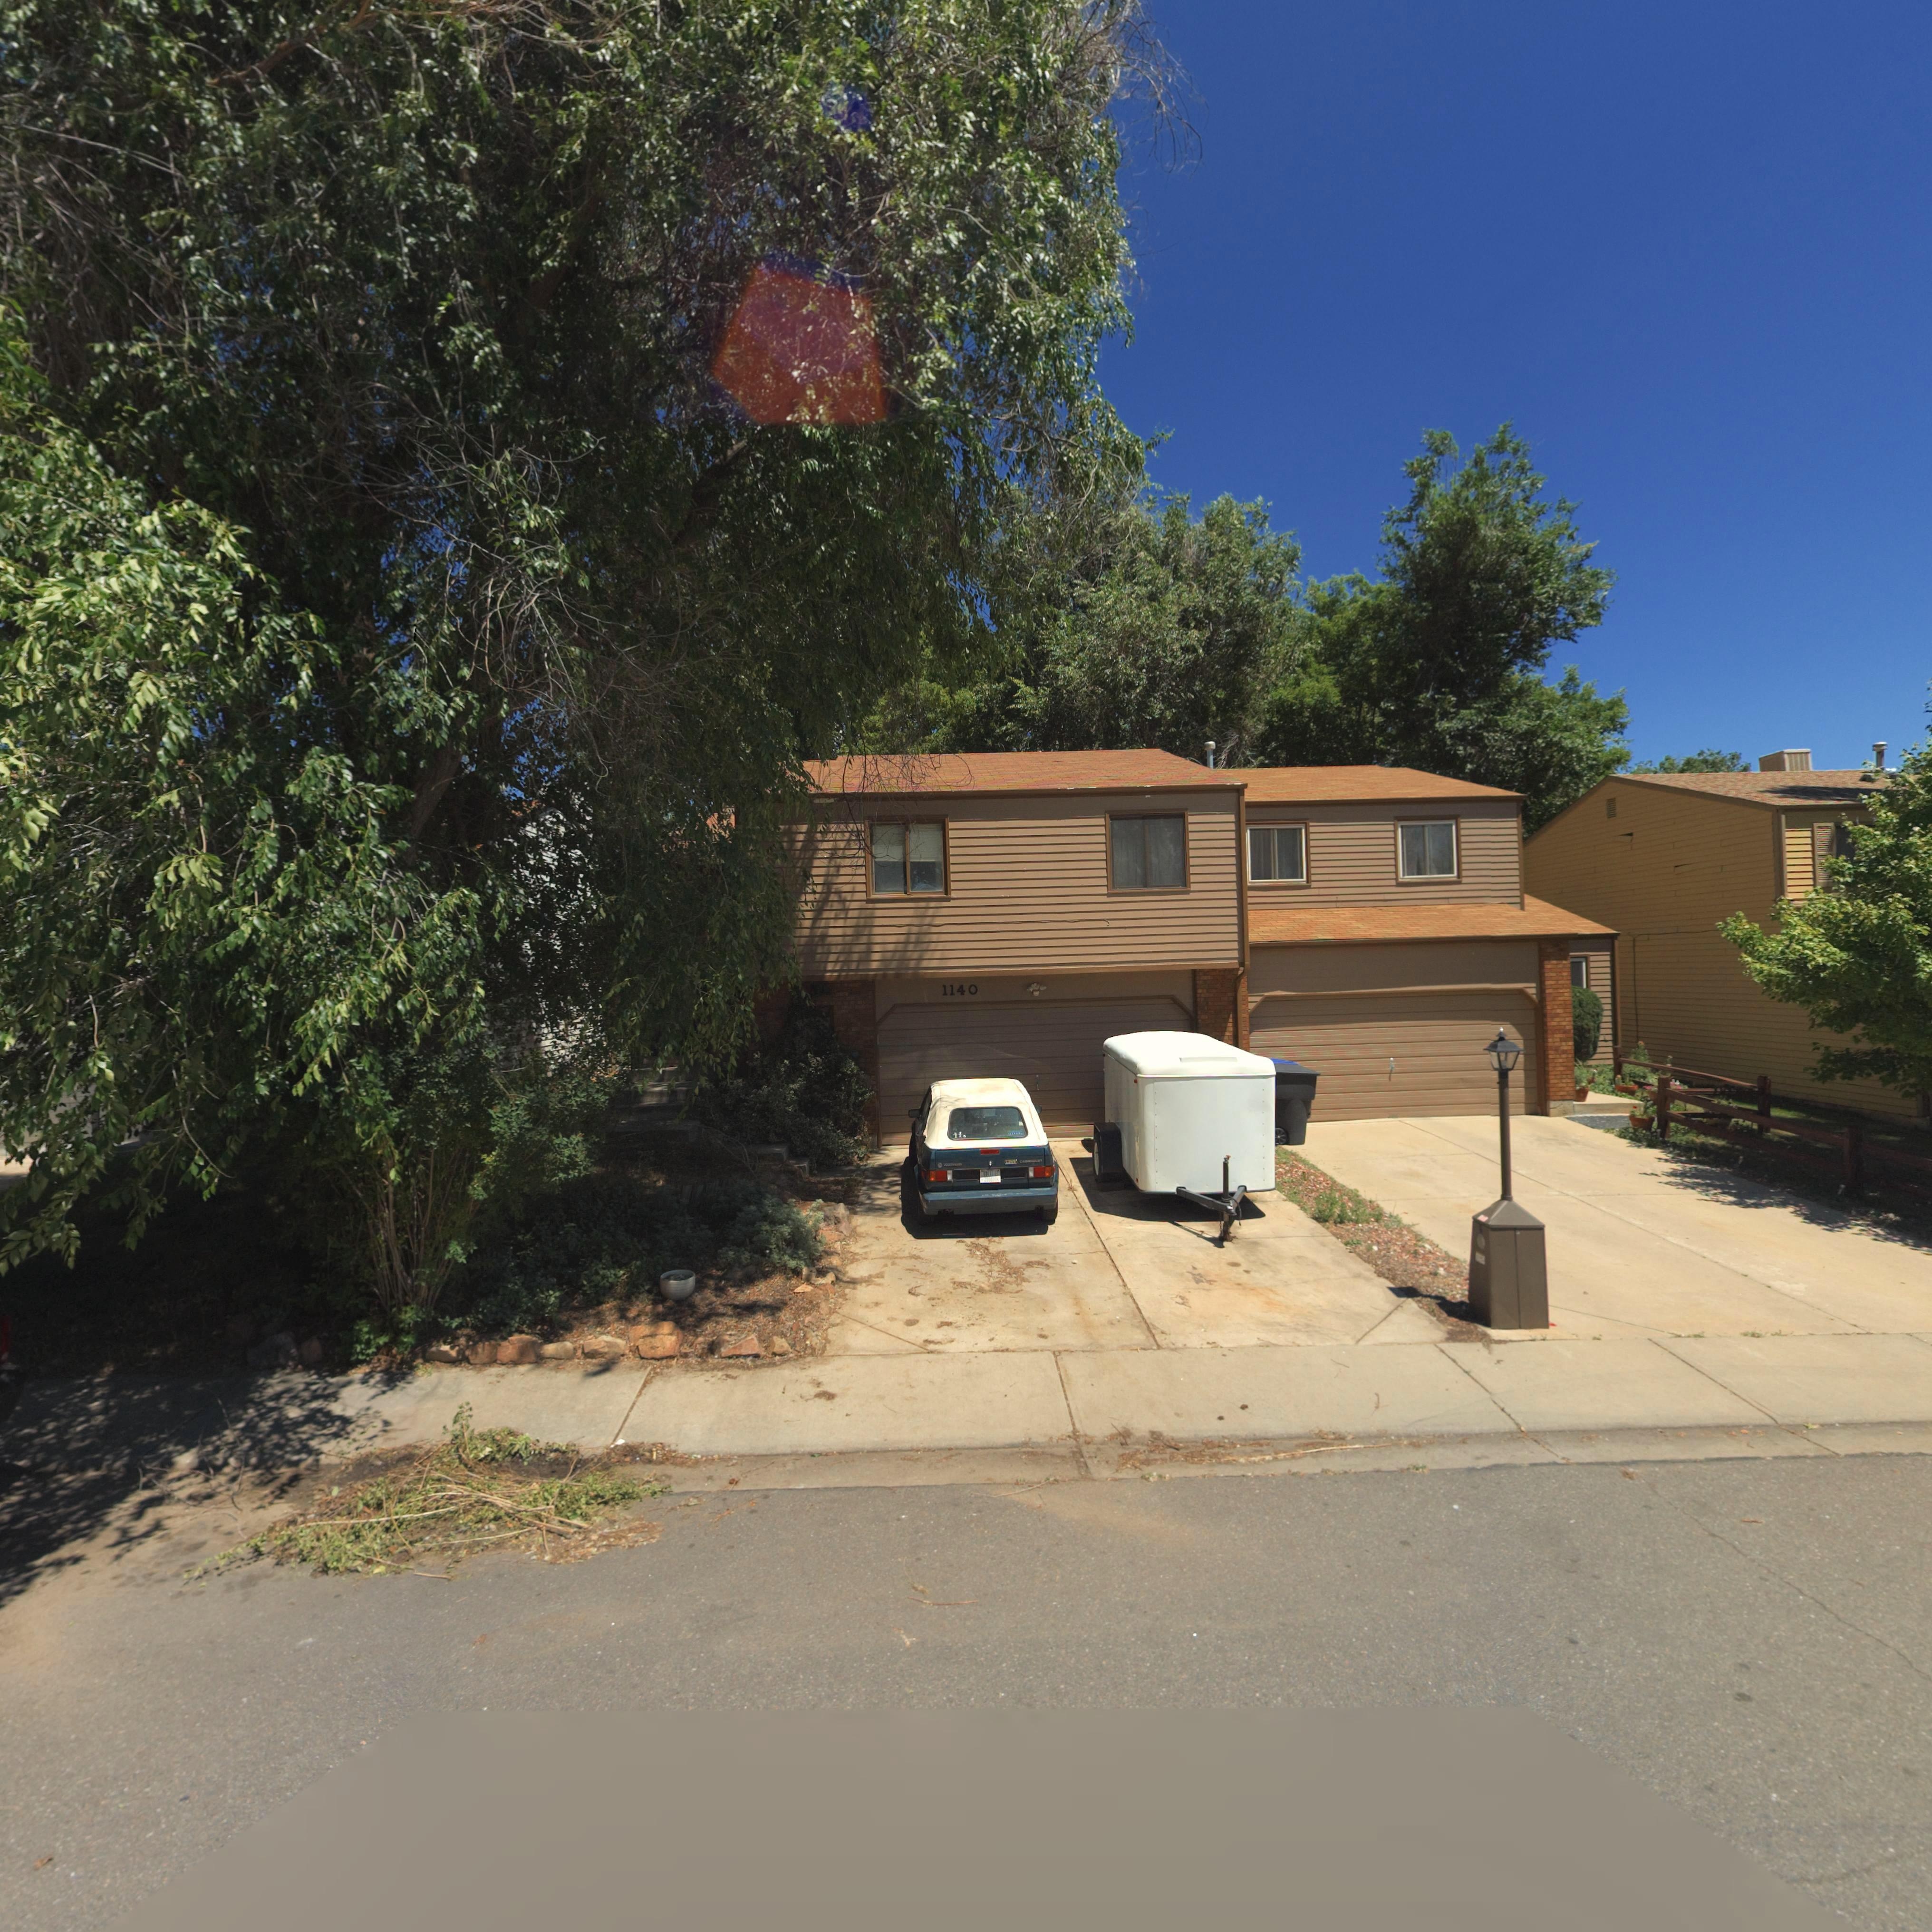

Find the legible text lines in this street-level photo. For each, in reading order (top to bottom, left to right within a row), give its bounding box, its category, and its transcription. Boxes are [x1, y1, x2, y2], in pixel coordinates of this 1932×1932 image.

[942, 984, 978, 996] StreetNumber: 1140